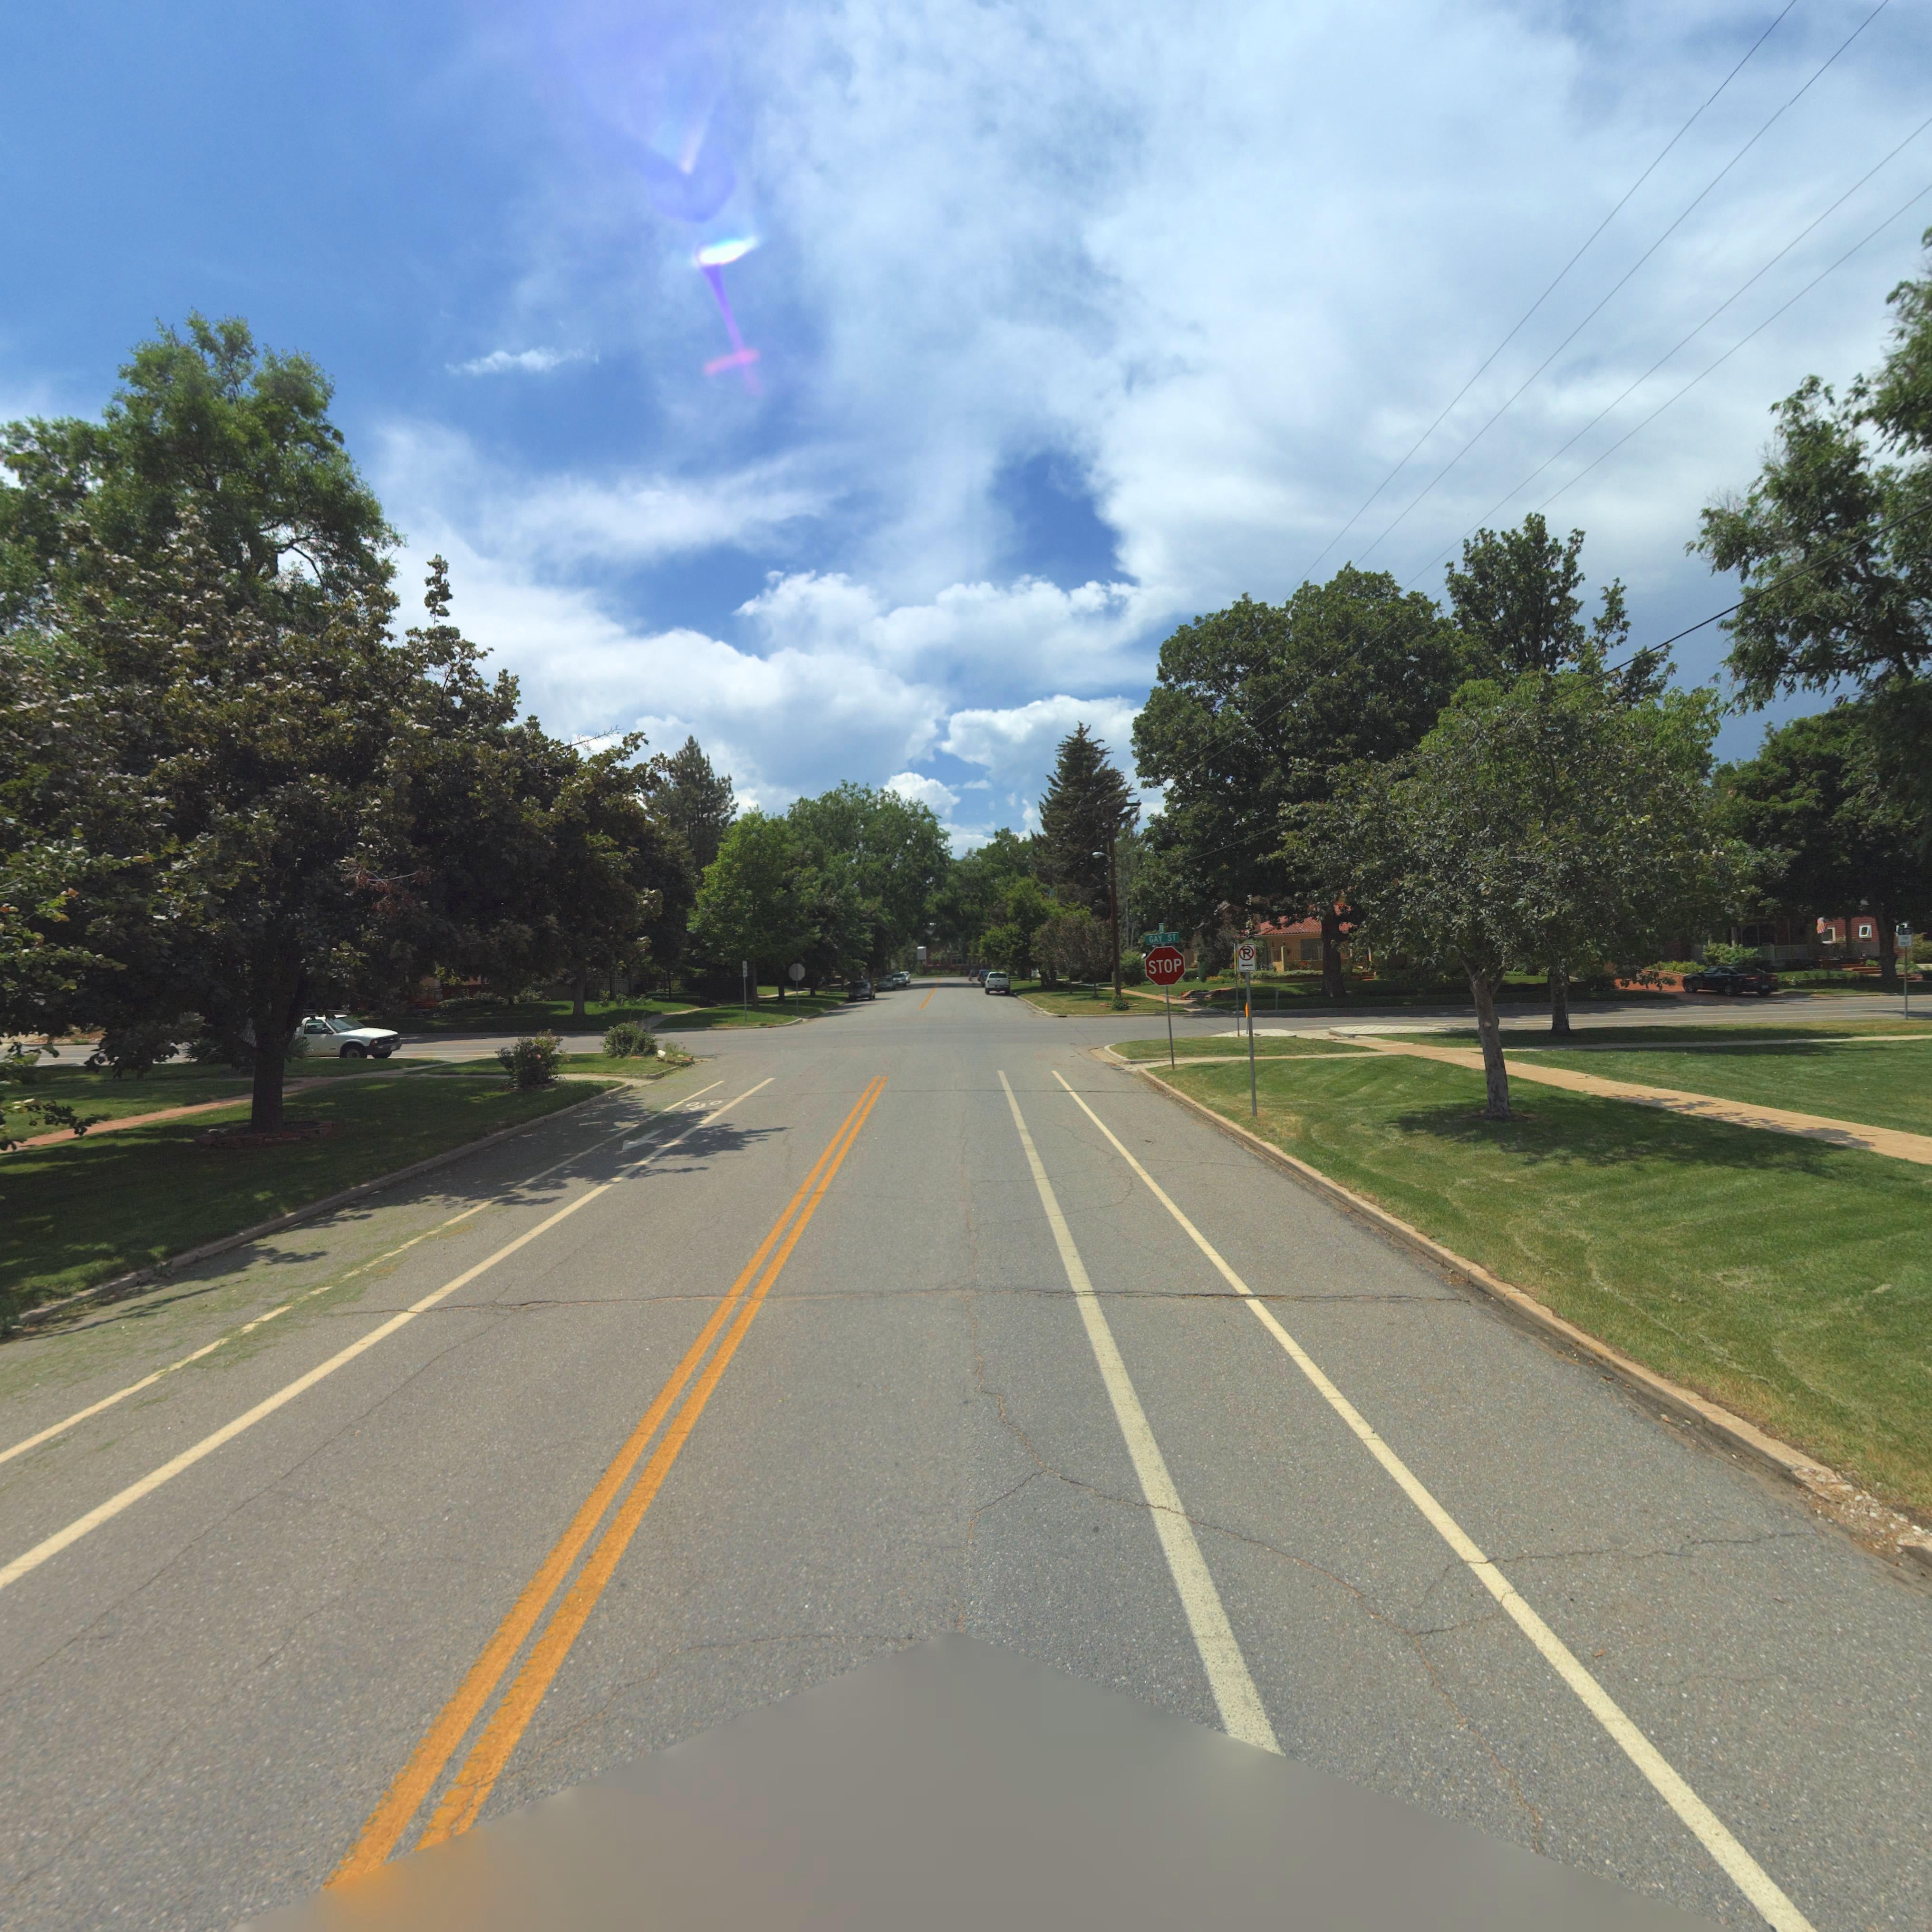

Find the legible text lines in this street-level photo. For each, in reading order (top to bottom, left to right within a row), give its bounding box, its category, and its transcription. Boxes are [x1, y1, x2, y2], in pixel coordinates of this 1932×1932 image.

[1149, 934, 1176, 943] StreetName: GAY ST